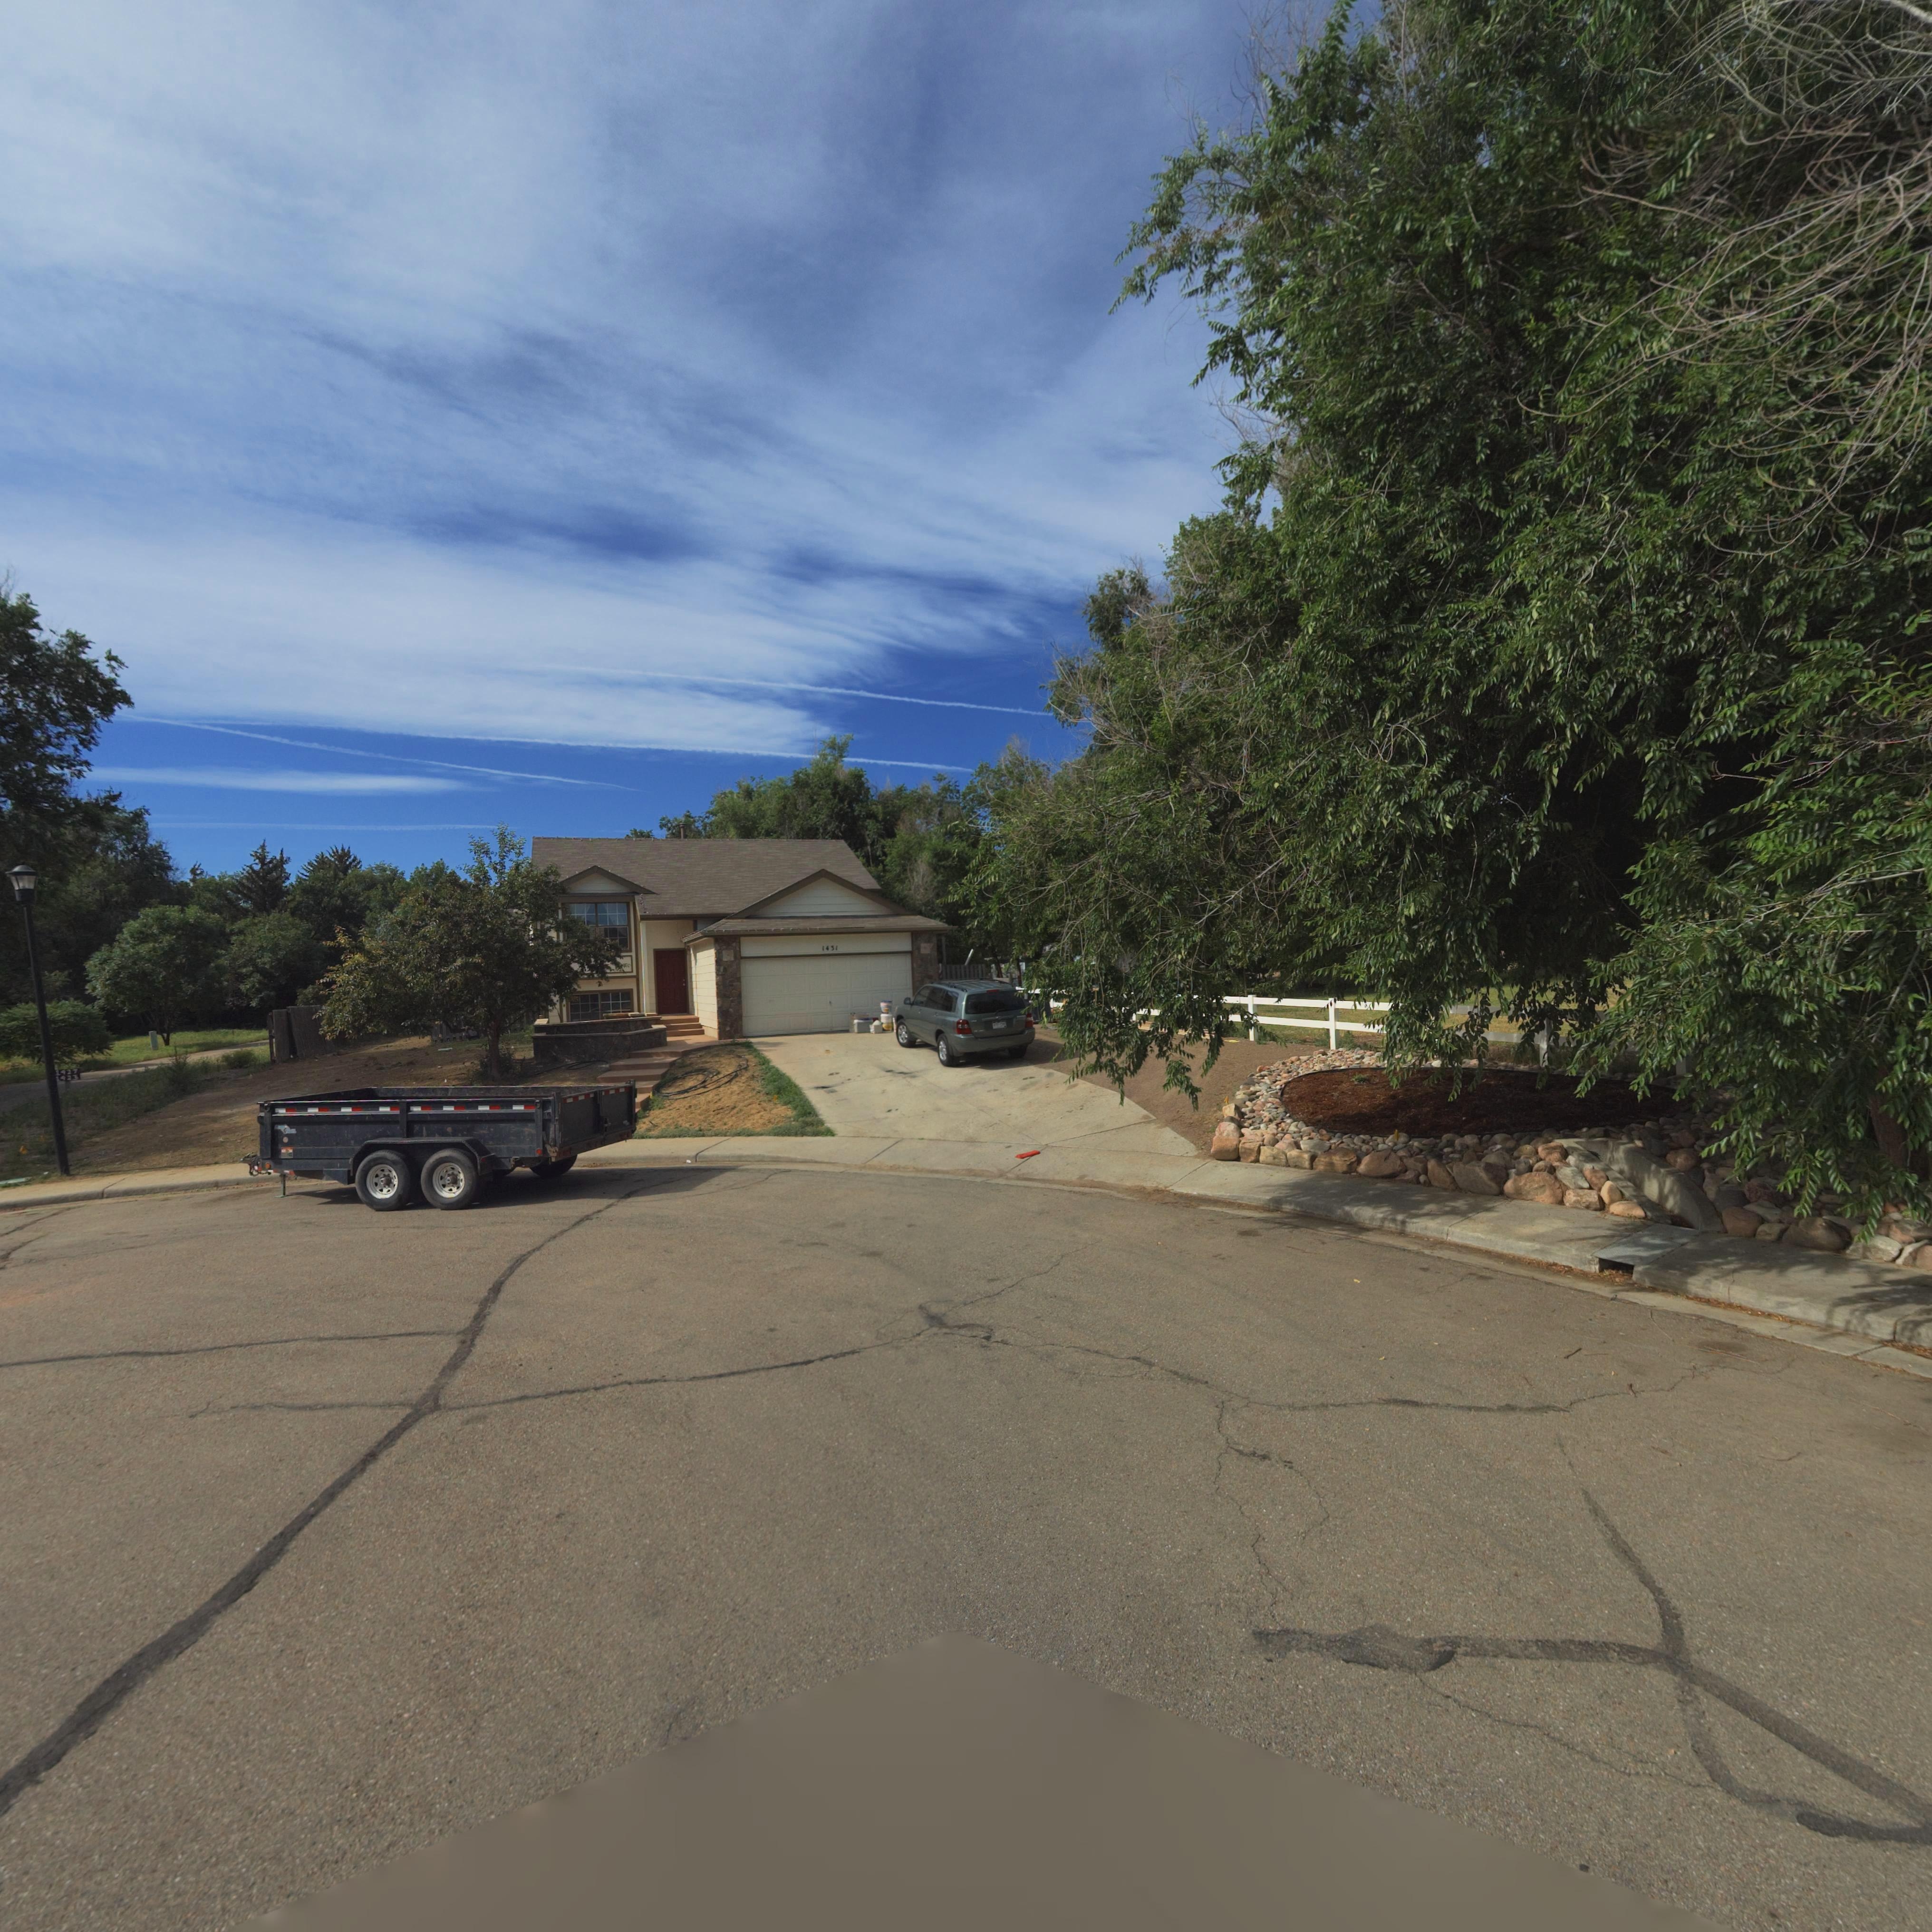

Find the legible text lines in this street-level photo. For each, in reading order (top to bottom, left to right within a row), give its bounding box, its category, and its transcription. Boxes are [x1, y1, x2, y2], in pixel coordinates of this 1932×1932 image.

[822, 945, 838, 951] StreetNumber: 1431
[55, 1068, 78, 1075] StreetNumber: 1427
[56, 1074, 78, 1081] StreetNumber: 1423